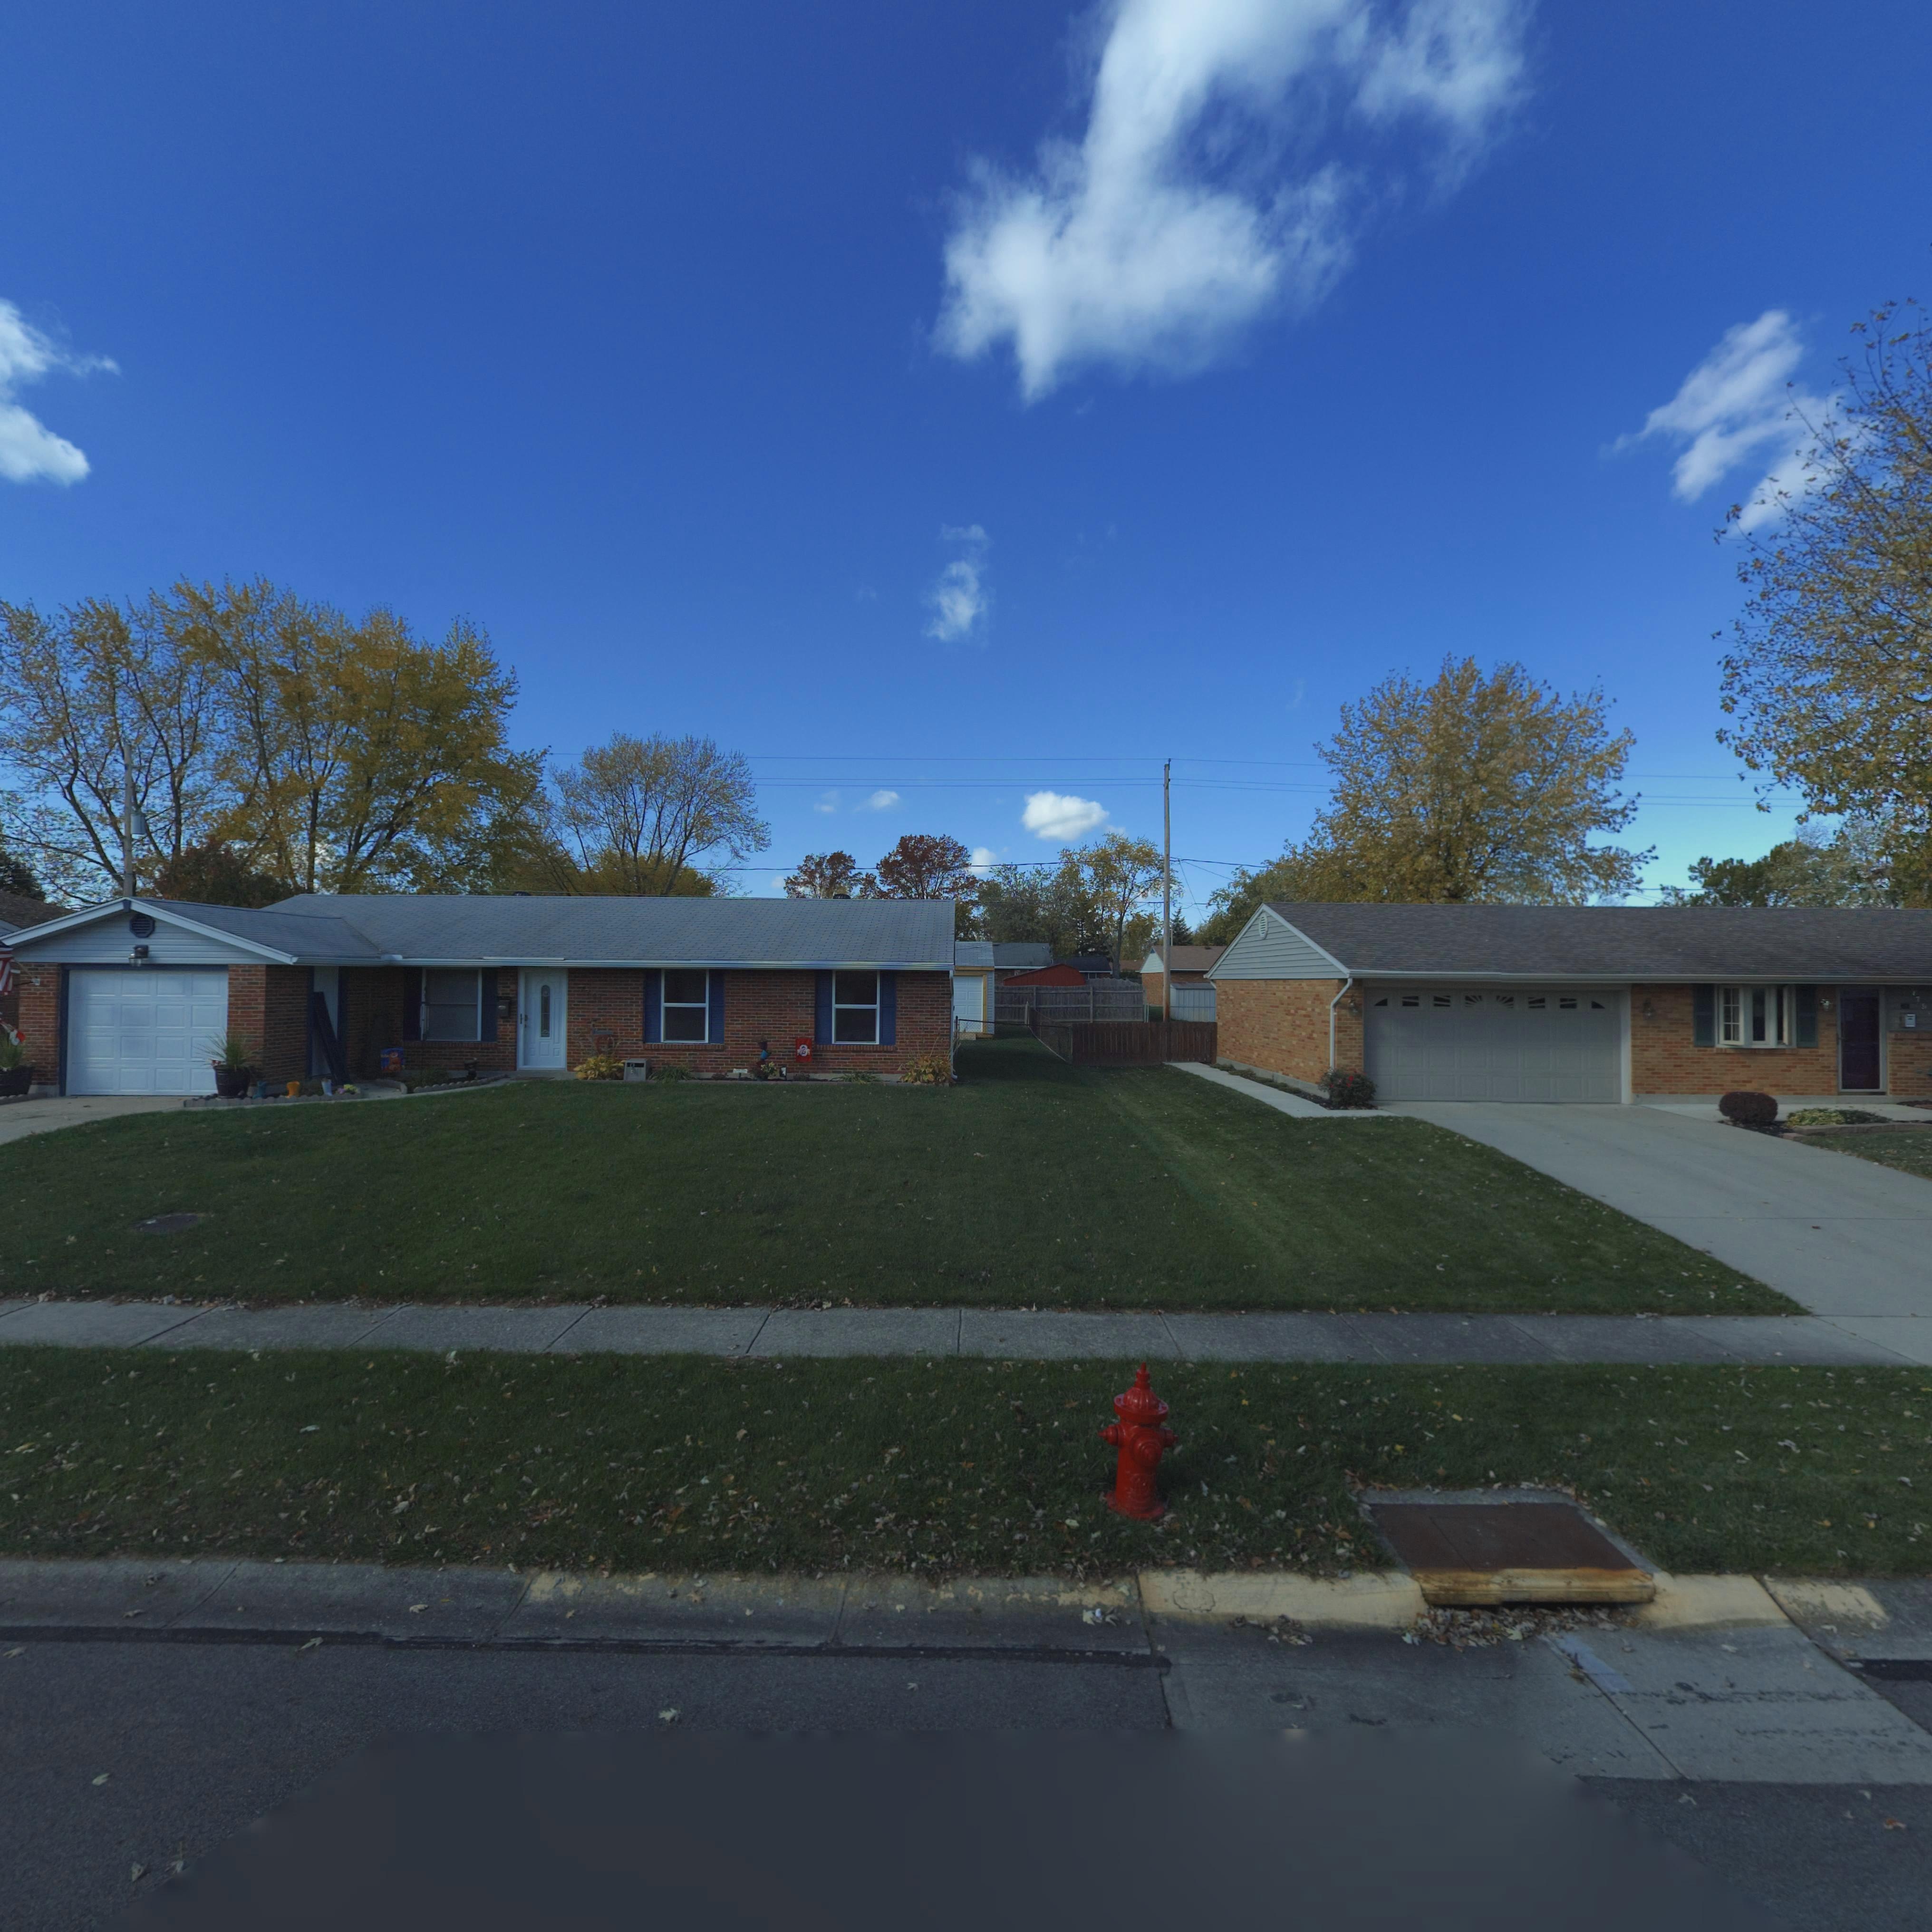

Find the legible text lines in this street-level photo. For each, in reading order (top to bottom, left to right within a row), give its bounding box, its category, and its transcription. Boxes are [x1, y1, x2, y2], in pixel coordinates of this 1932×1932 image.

[1909, 988, 1931, 1018] StreetNumber: *7**